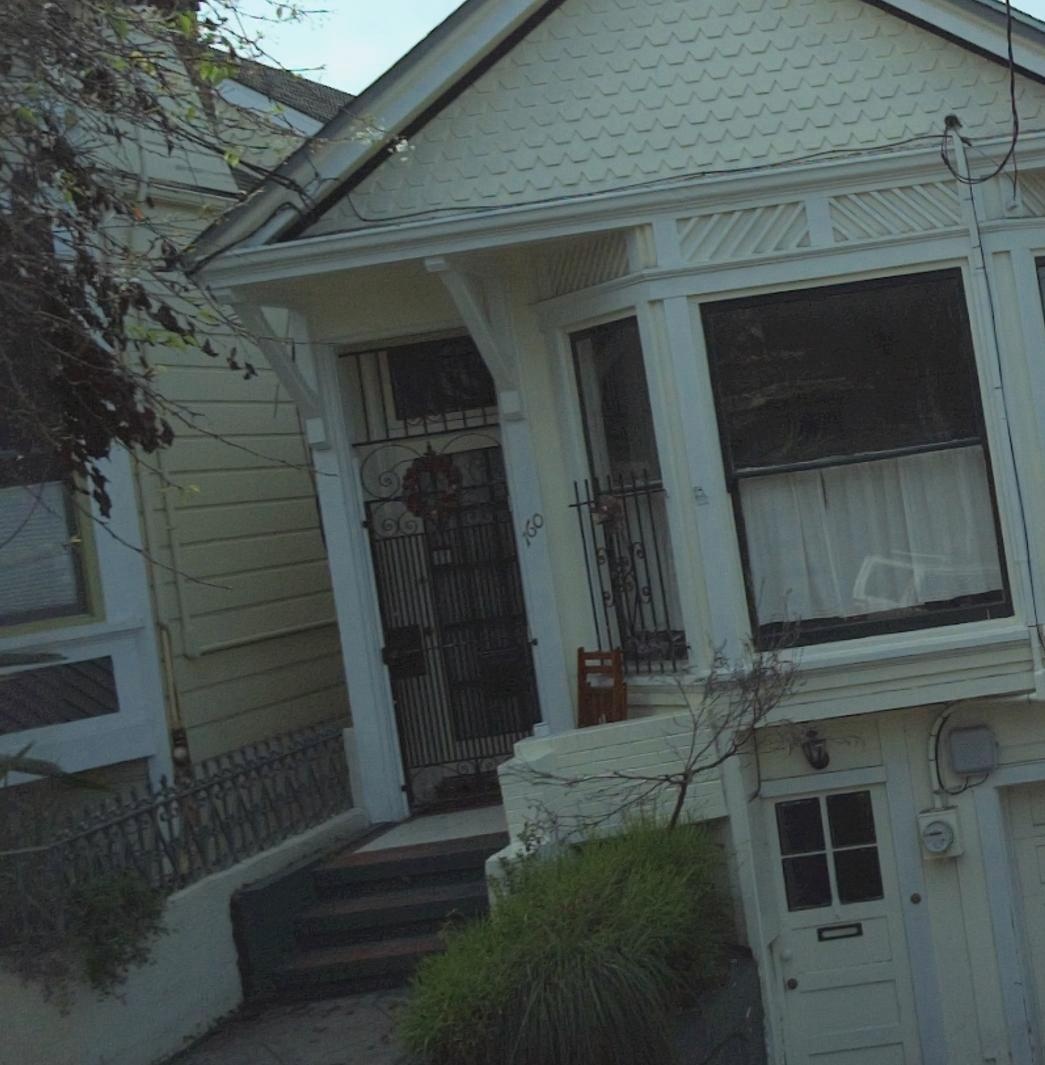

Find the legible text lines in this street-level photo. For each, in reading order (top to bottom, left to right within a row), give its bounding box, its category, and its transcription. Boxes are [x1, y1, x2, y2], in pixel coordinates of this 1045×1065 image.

[519, 510, 549, 552] StreetNumber: 160